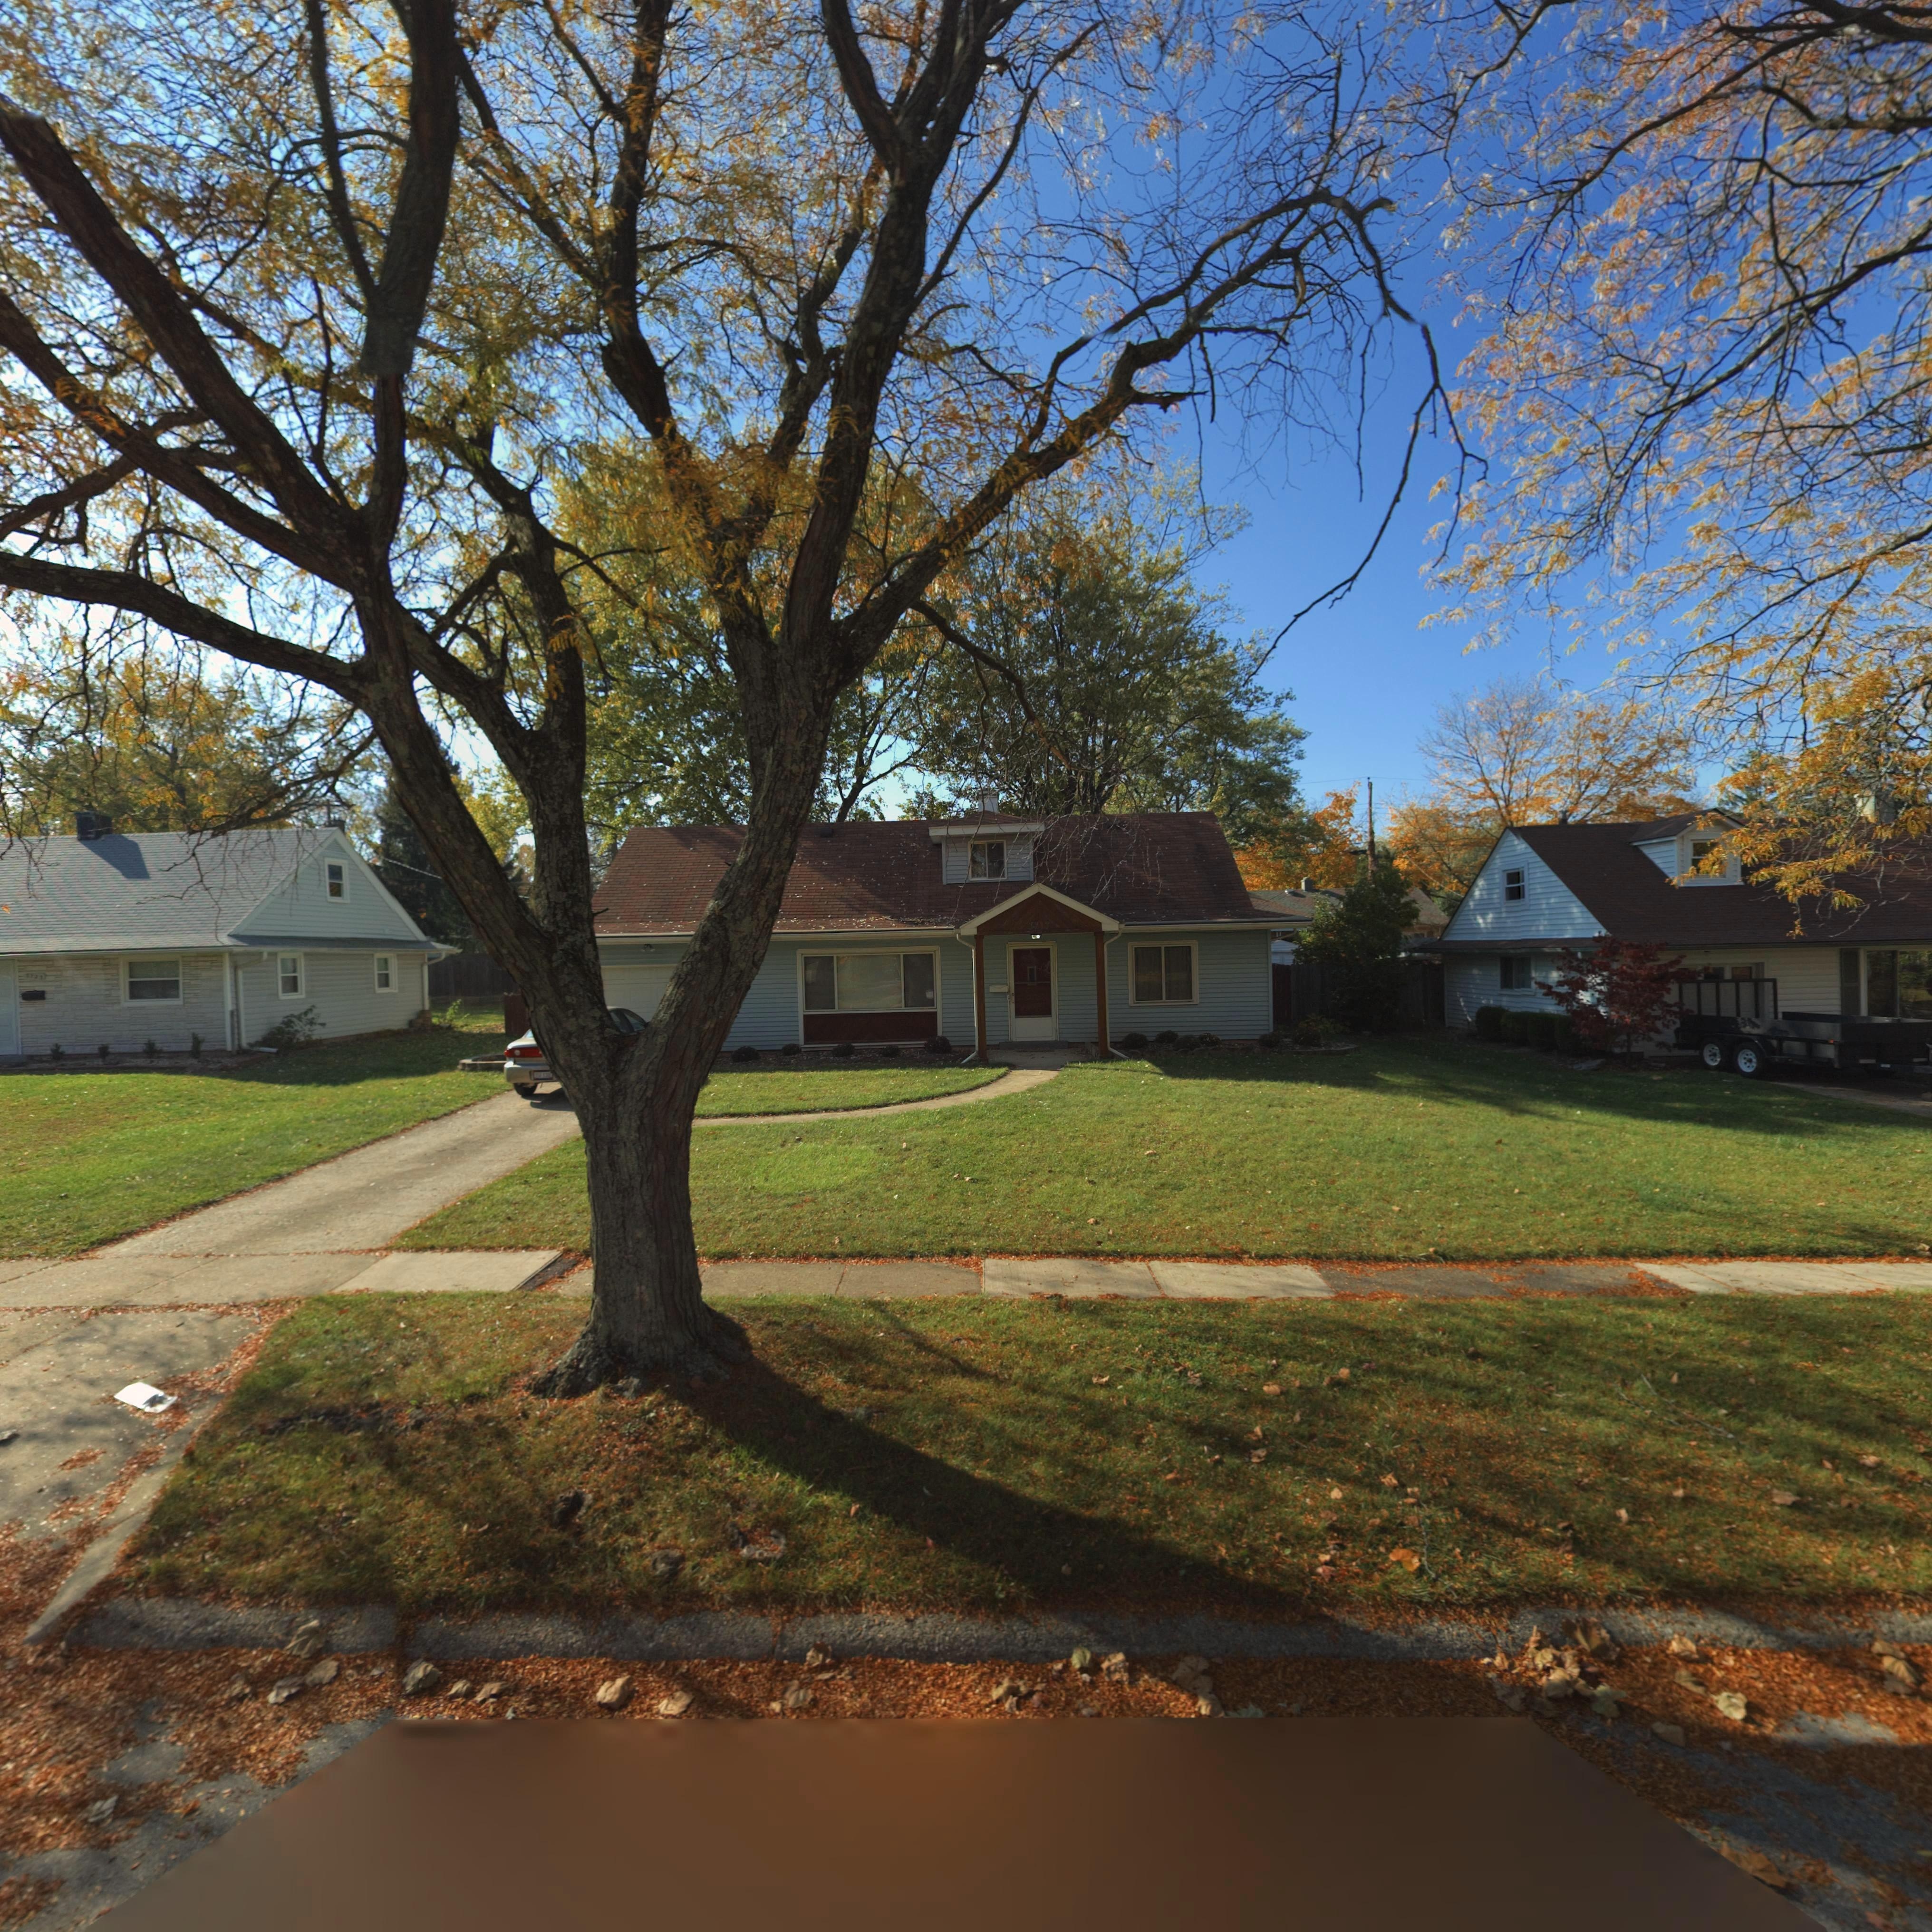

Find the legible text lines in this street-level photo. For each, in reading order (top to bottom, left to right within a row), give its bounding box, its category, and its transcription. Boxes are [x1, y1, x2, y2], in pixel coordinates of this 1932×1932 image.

[1027, 921, 1051, 930] StreetNumber: 3717